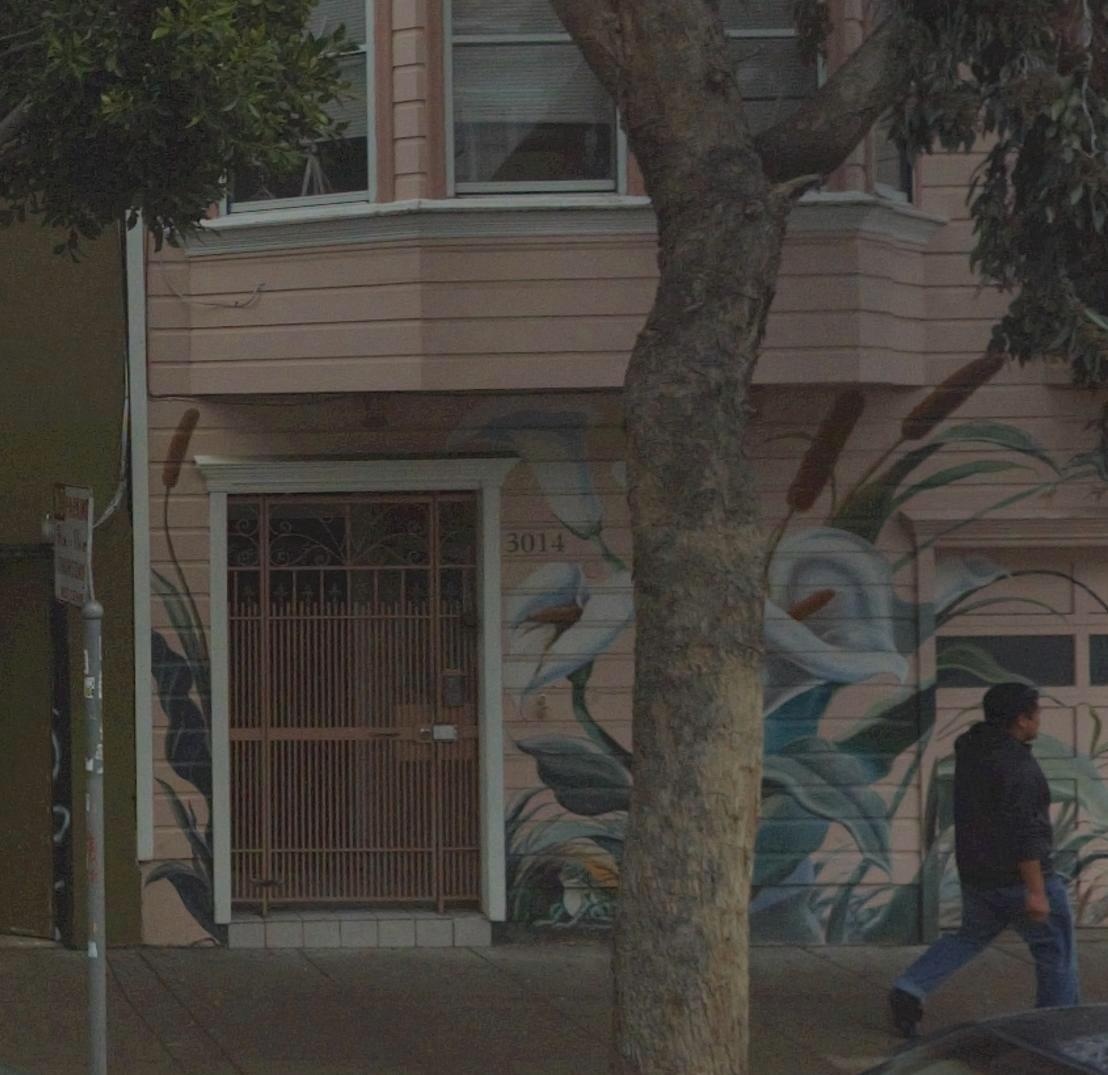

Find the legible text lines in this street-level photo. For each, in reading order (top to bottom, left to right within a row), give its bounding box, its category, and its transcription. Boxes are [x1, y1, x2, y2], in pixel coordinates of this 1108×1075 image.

[504, 530, 566, 555] StreetNumber: 3014